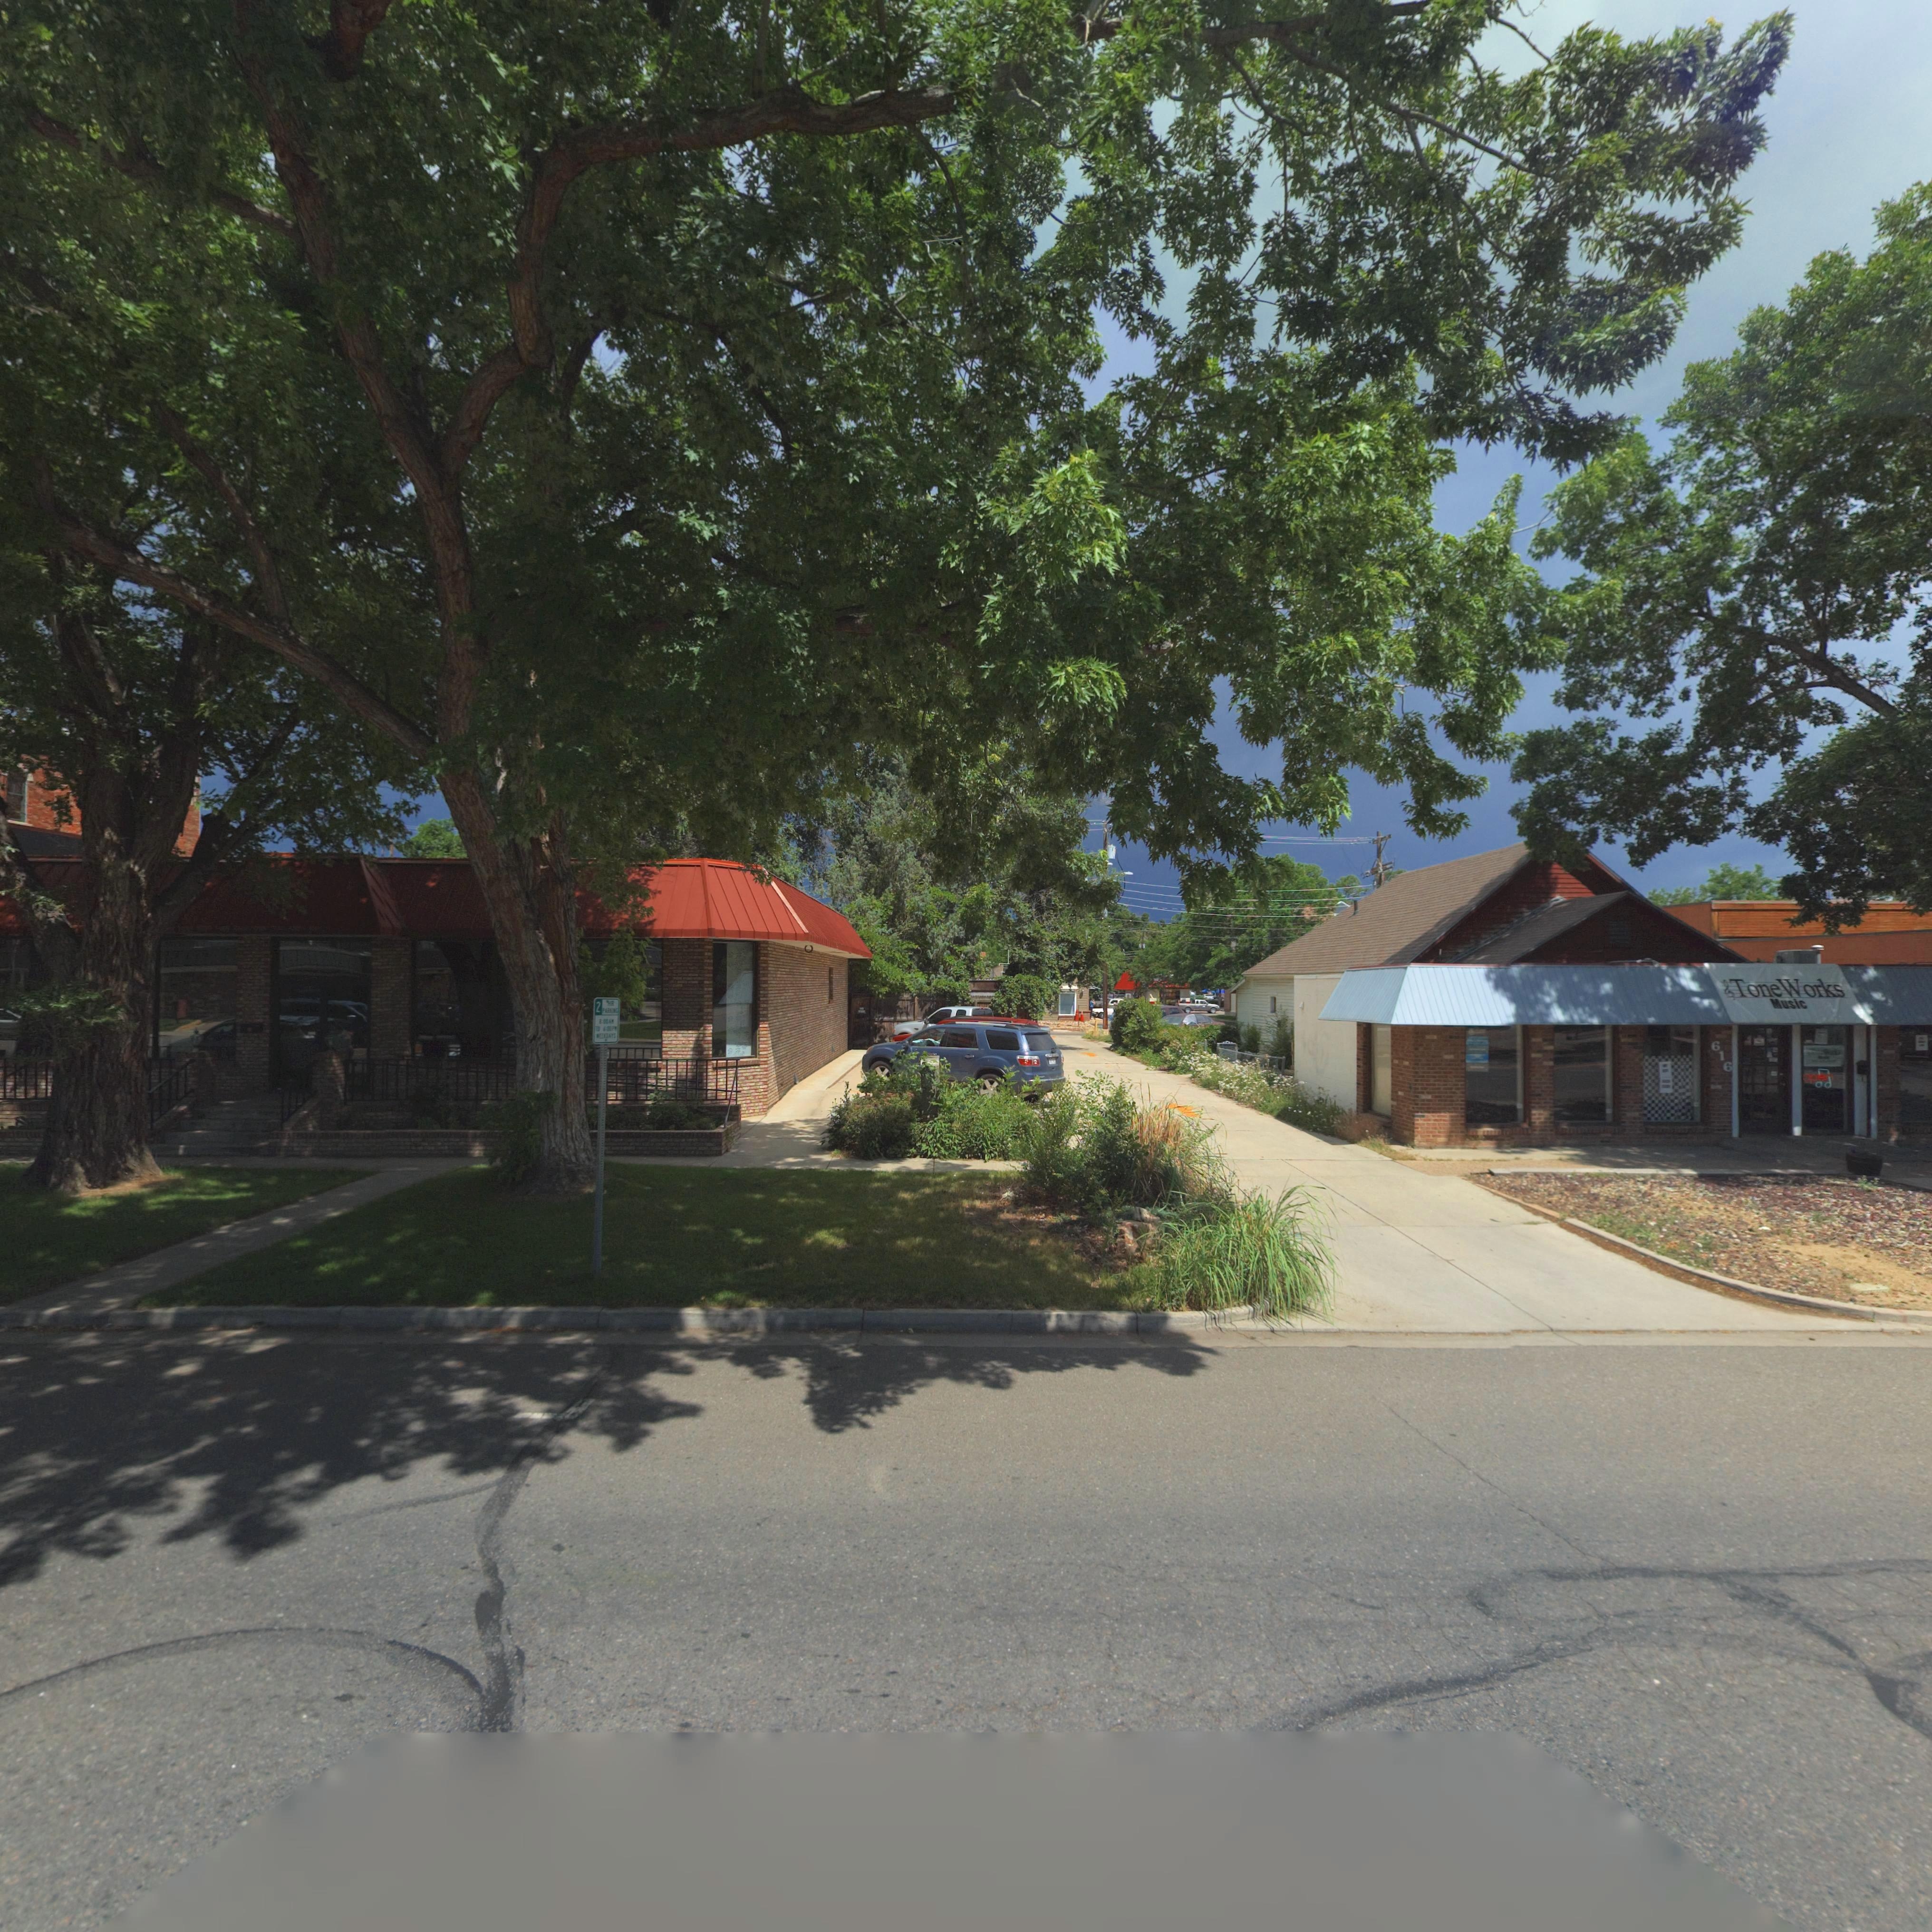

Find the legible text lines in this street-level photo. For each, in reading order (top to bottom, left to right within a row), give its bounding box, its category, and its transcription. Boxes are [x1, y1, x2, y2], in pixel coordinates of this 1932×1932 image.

[1728, 977, 1846, 998] BusinessName: ToneWorks
[1768, 997, 1808, 1010] BusinessName: Music
[1710, 1040, 1733, 1072] StreetNumber: 616